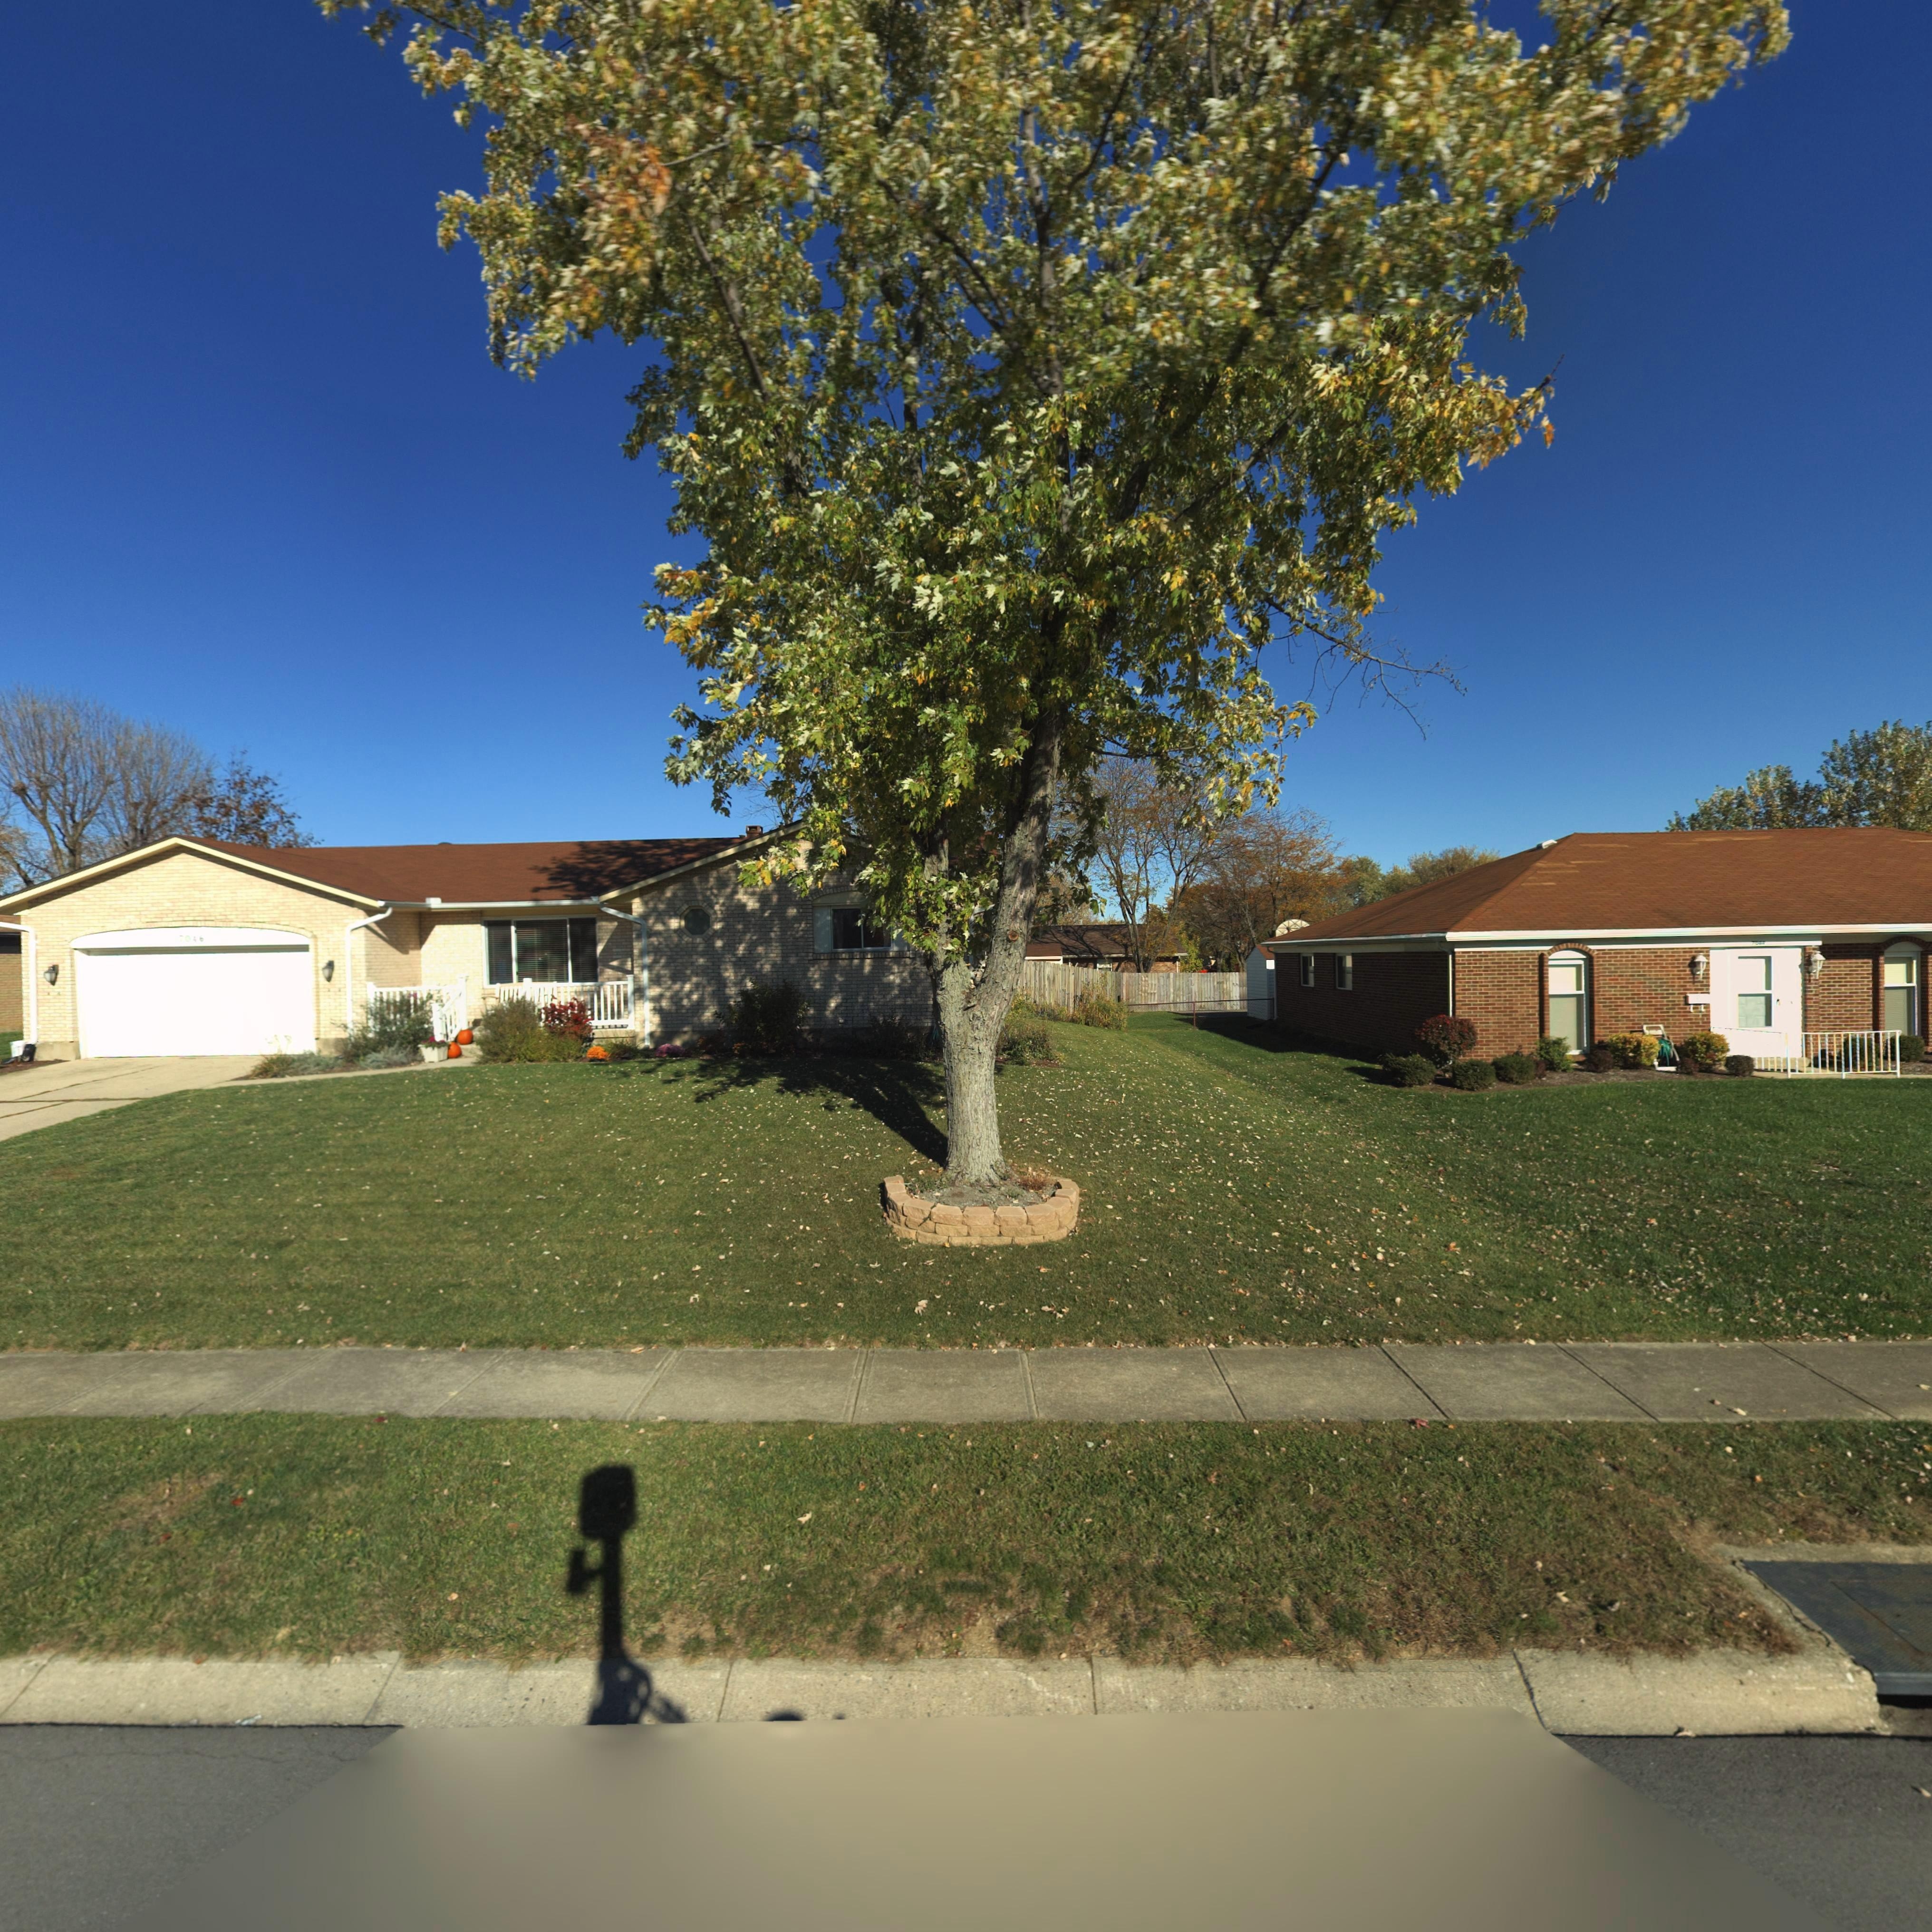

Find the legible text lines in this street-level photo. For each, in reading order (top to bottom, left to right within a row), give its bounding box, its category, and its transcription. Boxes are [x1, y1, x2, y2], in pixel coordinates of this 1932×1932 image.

[178, 934, 204, 943] StreetNumber: 7046
[1750, 940, 1765, 945] StreetNumber: 7044